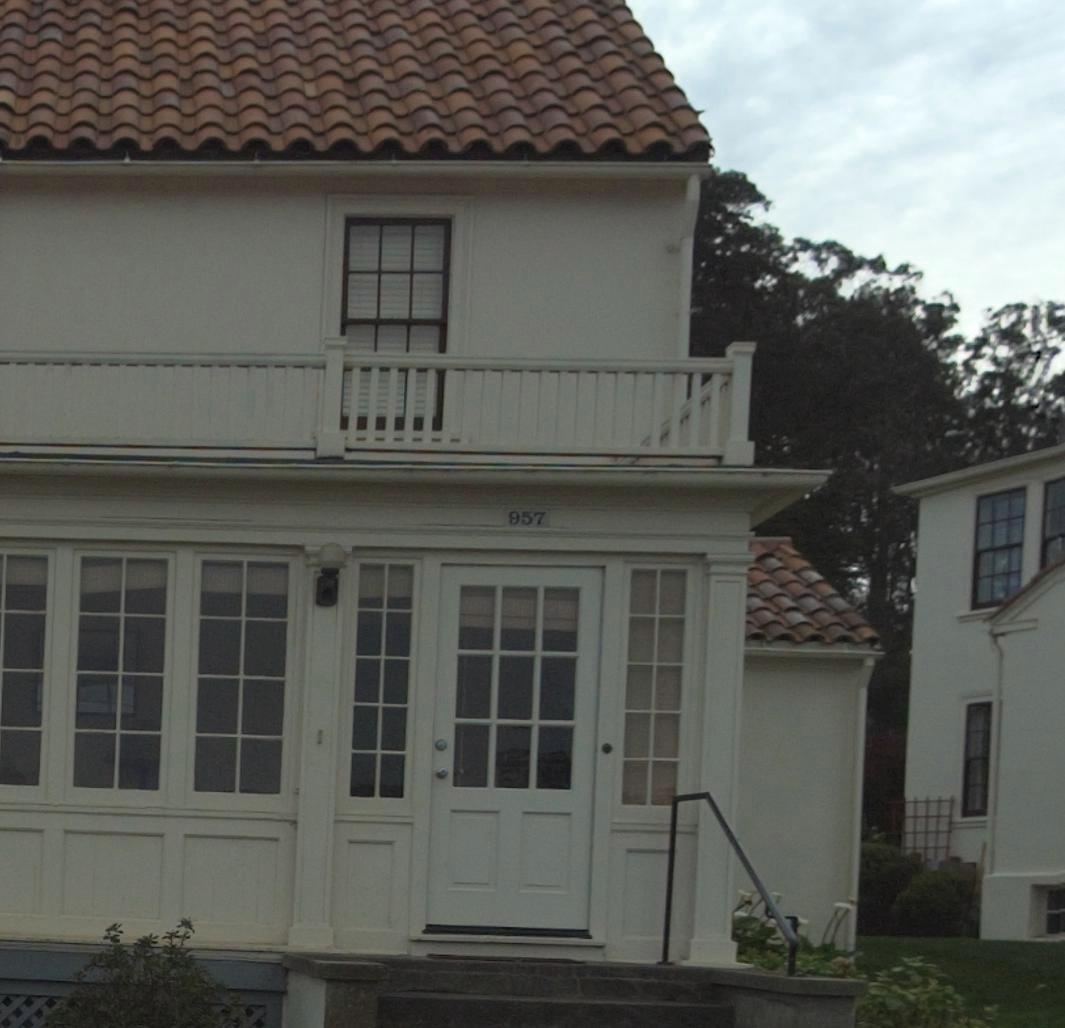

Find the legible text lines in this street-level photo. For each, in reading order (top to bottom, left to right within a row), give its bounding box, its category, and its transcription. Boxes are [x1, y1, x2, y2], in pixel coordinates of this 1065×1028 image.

[507, 509, 548, 527] StreetNumber: 957